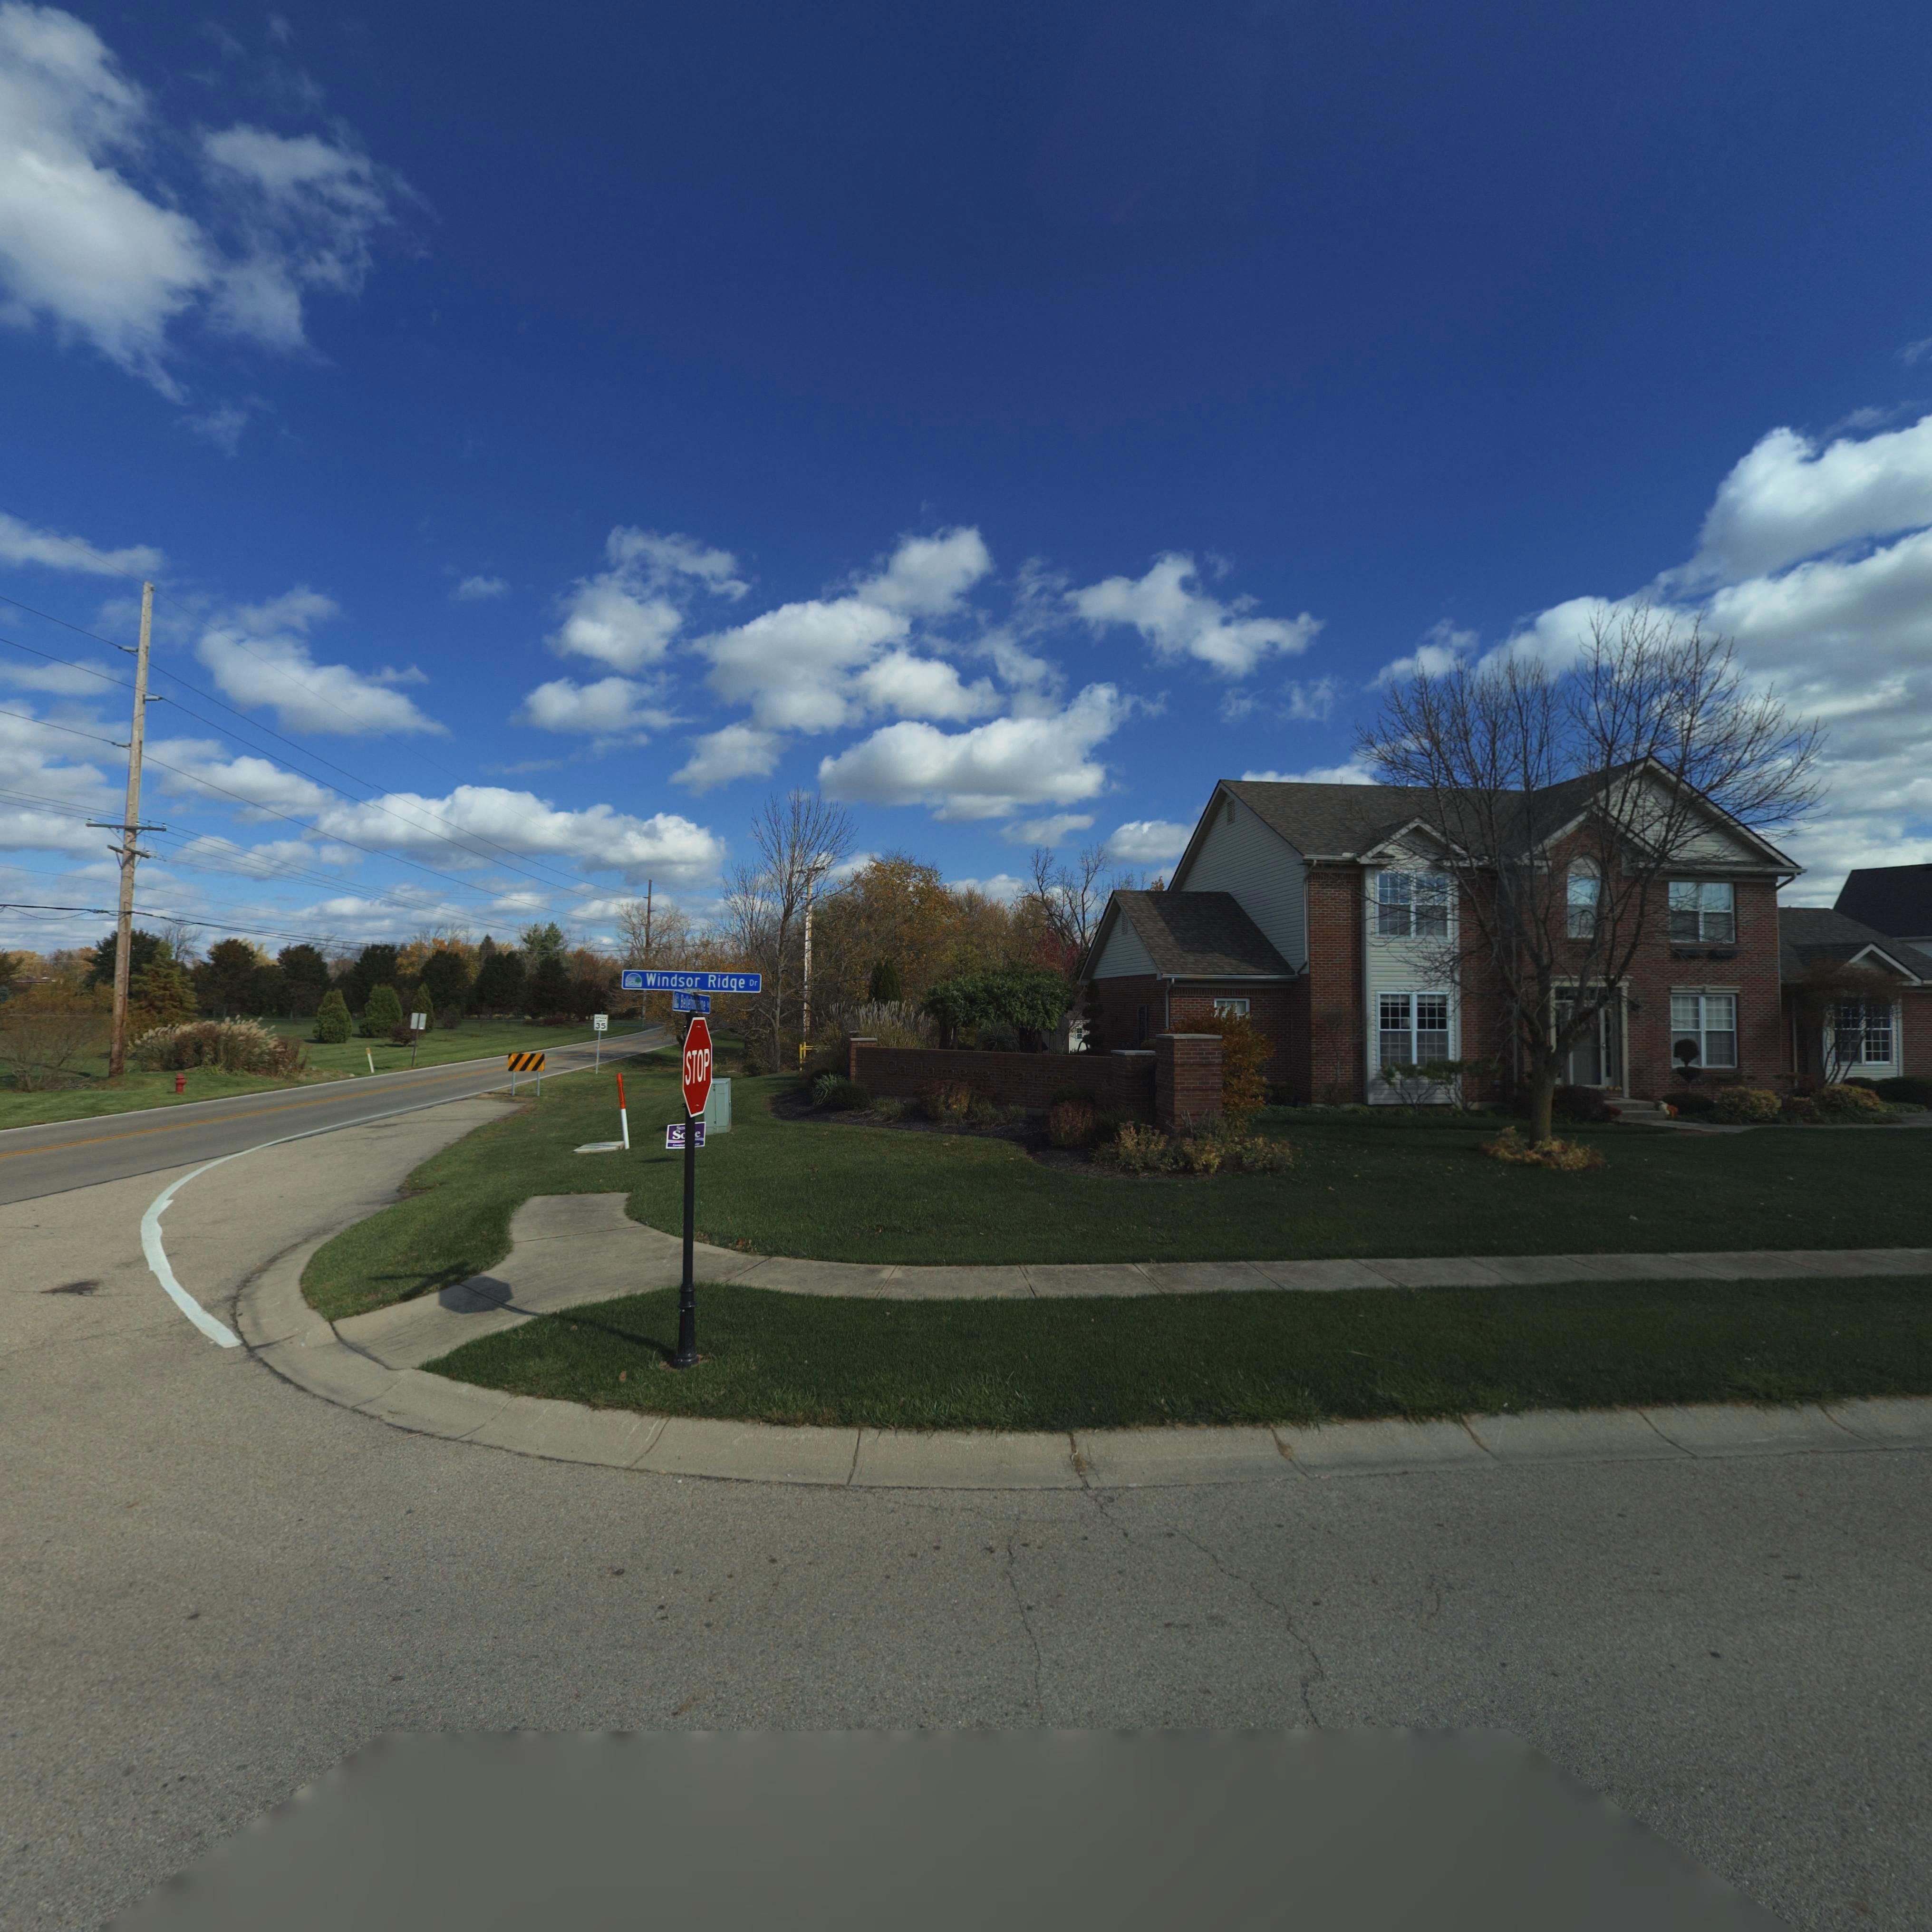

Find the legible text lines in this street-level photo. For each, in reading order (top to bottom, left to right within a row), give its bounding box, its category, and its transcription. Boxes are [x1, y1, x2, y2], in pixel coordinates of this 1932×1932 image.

[646, 972, 759, 992] StreetName: Windsor Ridge Dr
[679, 993, 706, 1011] StreetName: Bellefontaine